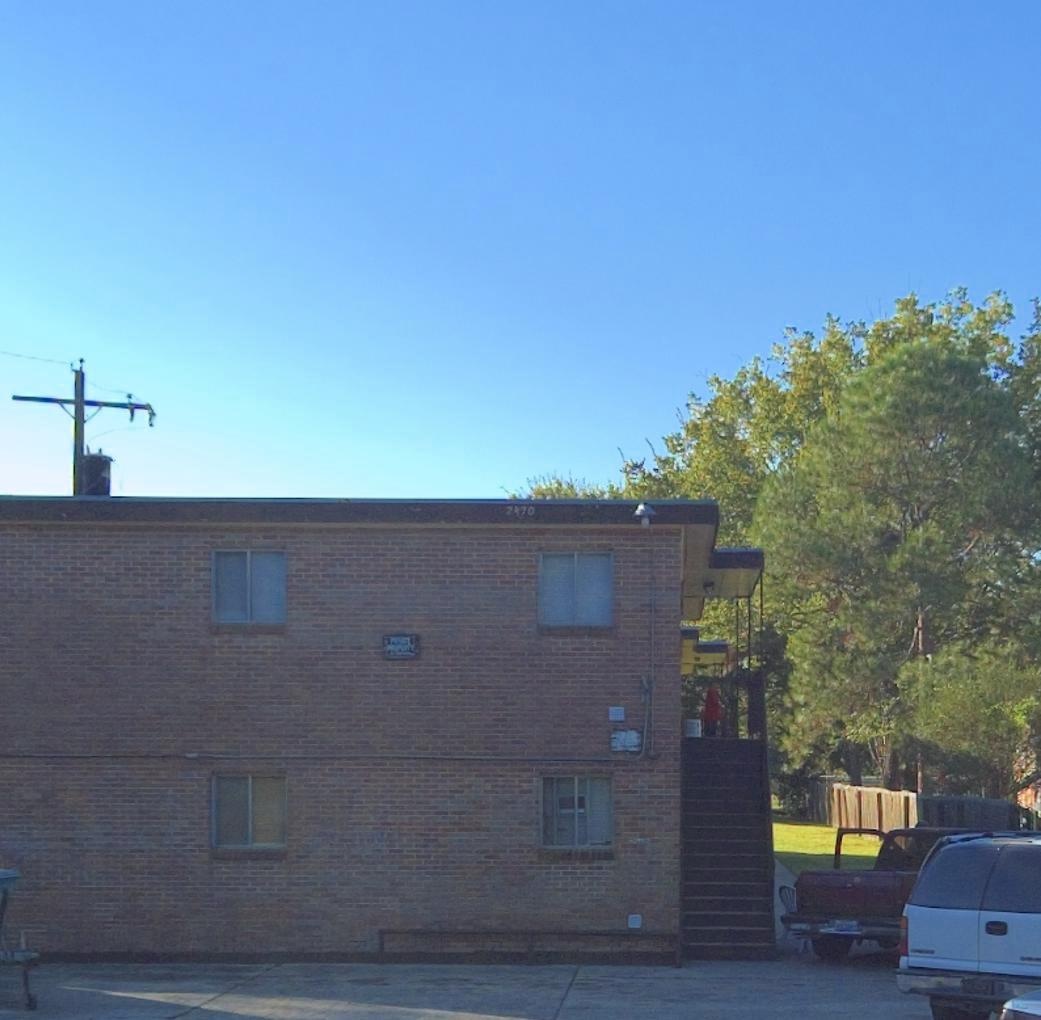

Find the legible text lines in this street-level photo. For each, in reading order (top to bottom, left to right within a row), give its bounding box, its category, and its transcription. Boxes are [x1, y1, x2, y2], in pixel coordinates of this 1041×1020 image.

[505, 504, 536, 517] StreetNumber: 2370